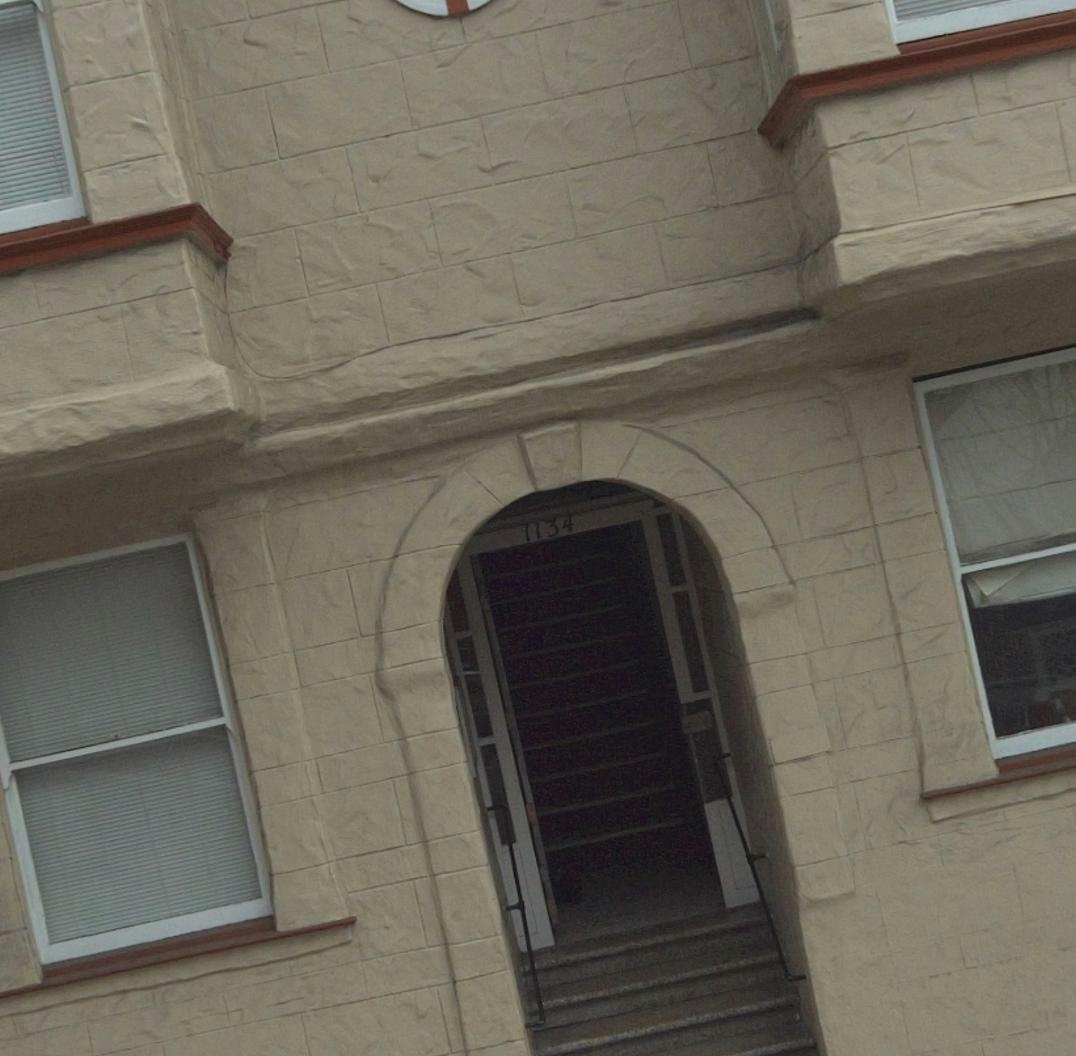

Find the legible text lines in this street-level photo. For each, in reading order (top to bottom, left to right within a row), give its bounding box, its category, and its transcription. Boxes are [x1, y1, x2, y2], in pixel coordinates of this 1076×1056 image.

[521, 509, 578, 548] StreetNumber: 1134